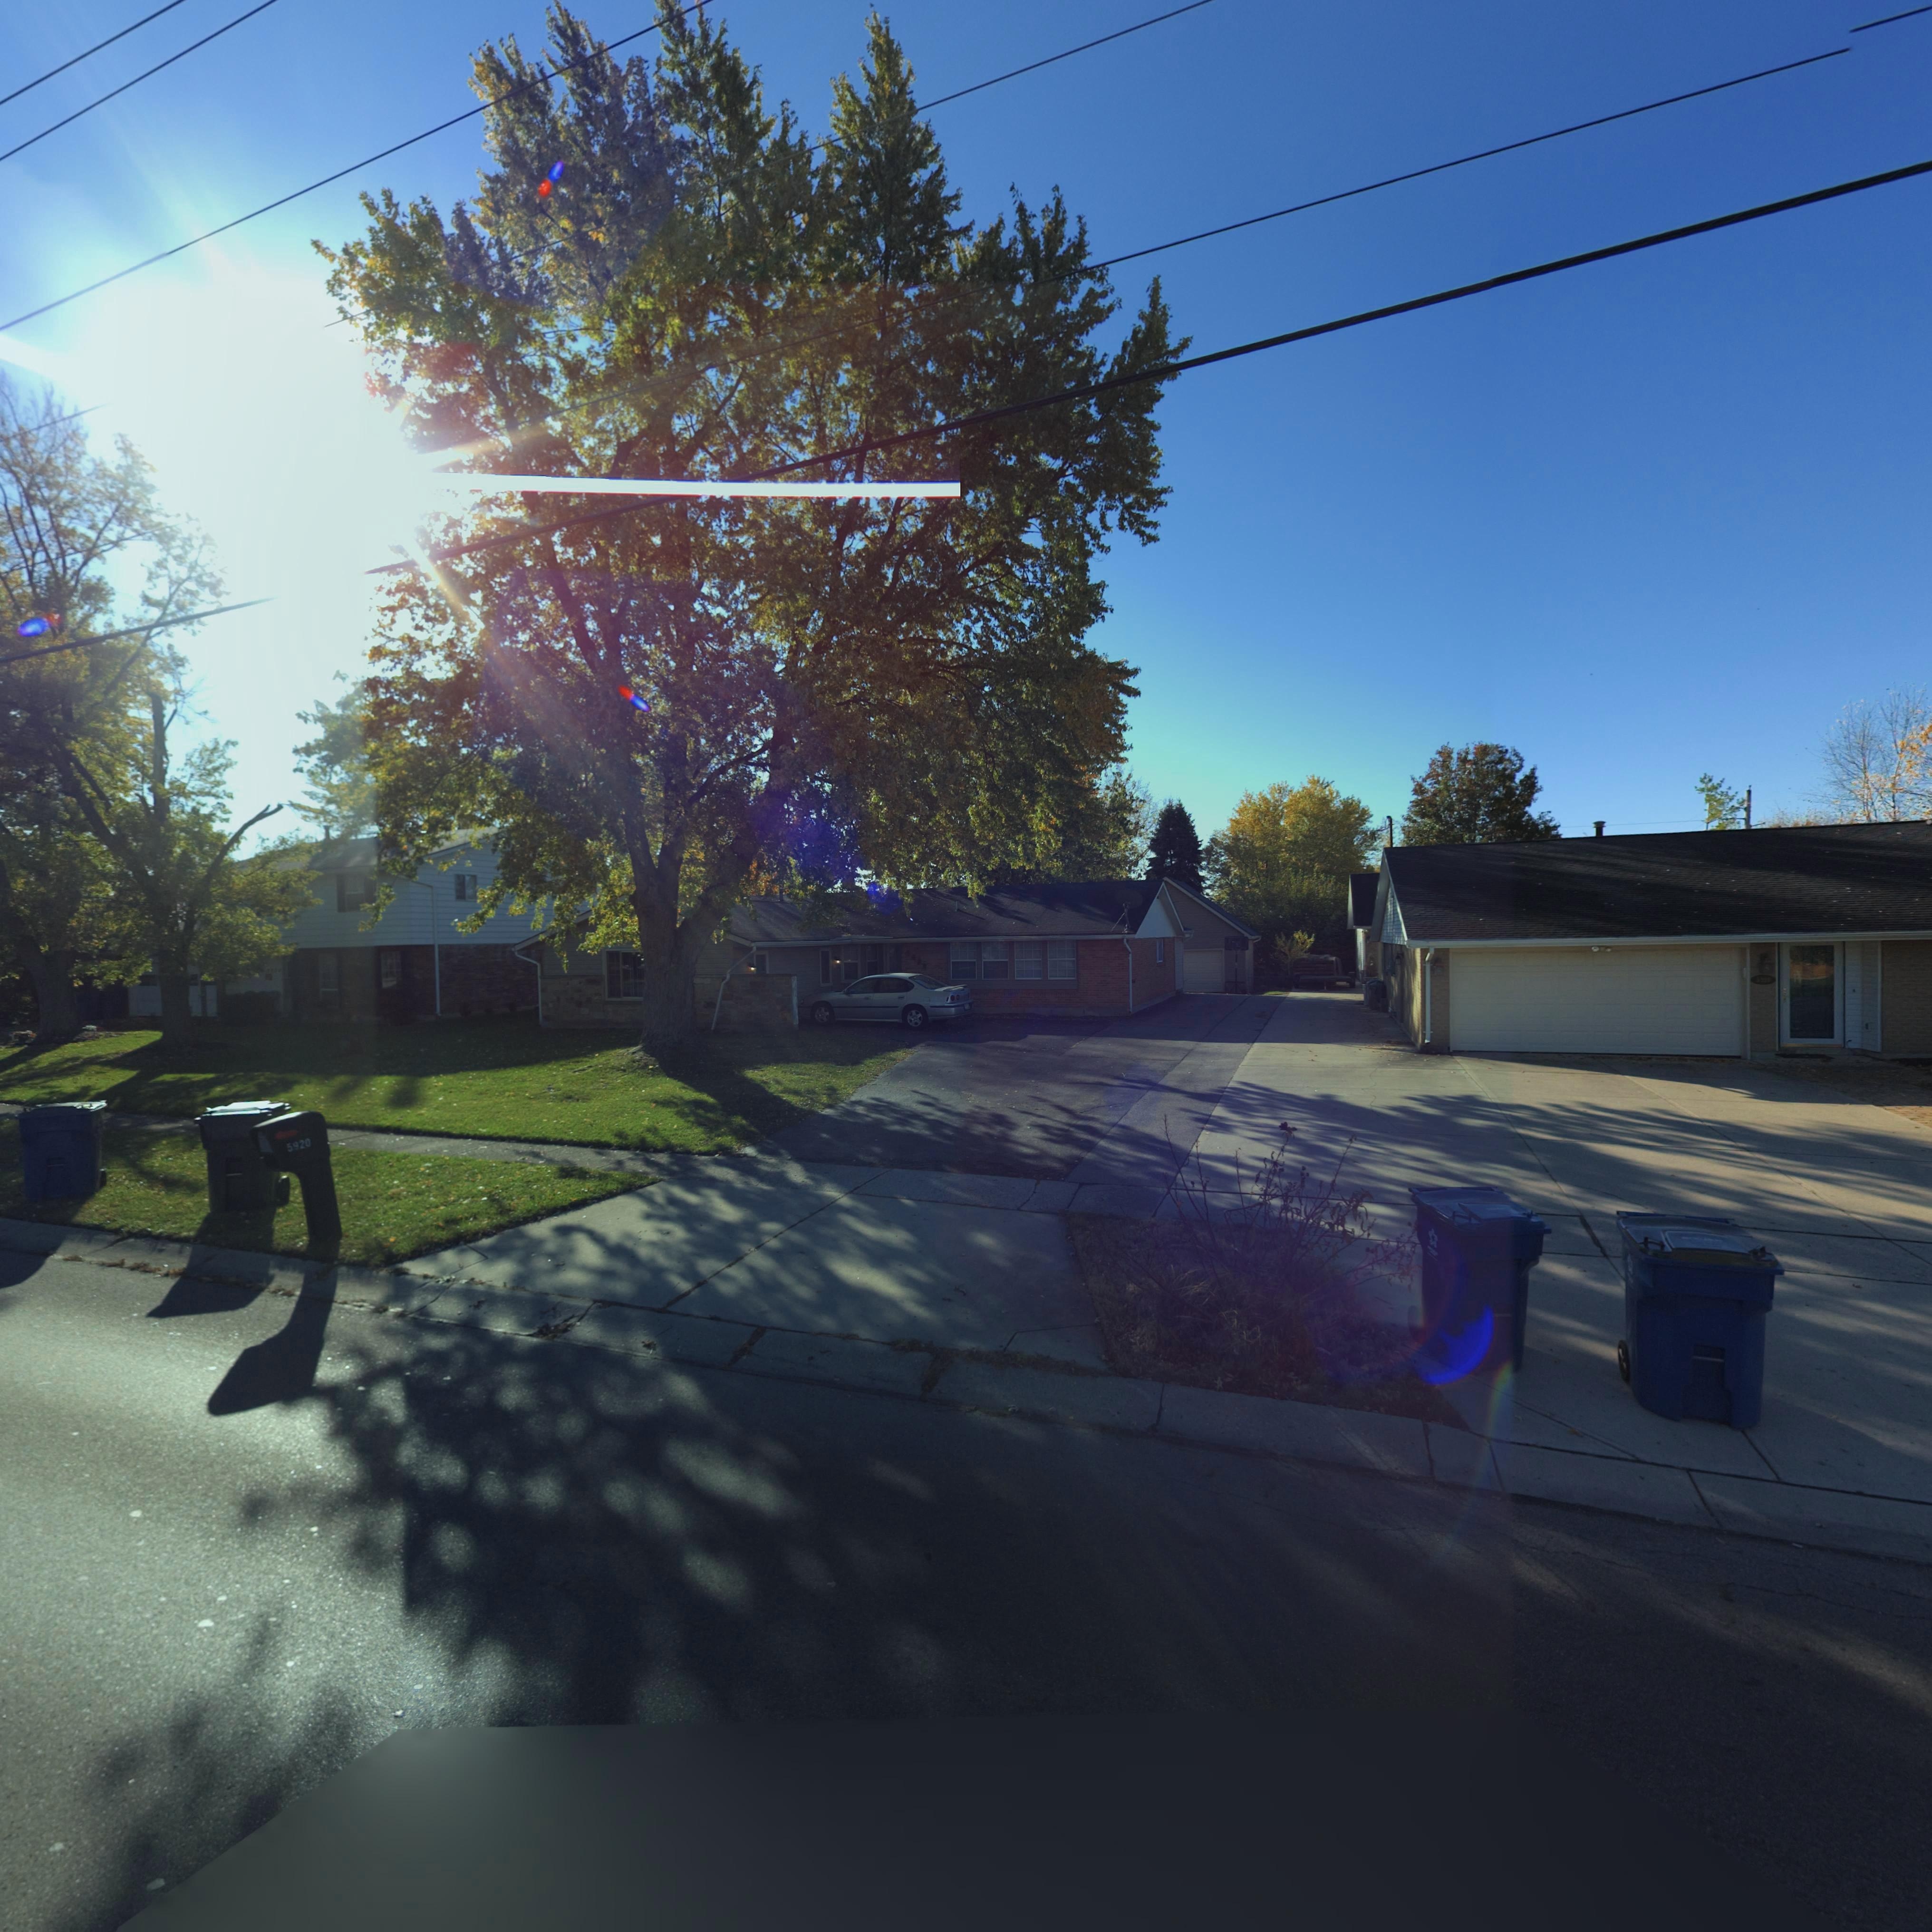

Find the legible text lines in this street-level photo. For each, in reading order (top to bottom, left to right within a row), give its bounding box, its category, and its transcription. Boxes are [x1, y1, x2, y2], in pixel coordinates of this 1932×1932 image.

[905, 949, 927, 968] StreetNumber: 5920
[1756, 976, 1771, 983] StreetNumber: 59**
[286, 1137, 312, 1153] StreetNumber: 5920